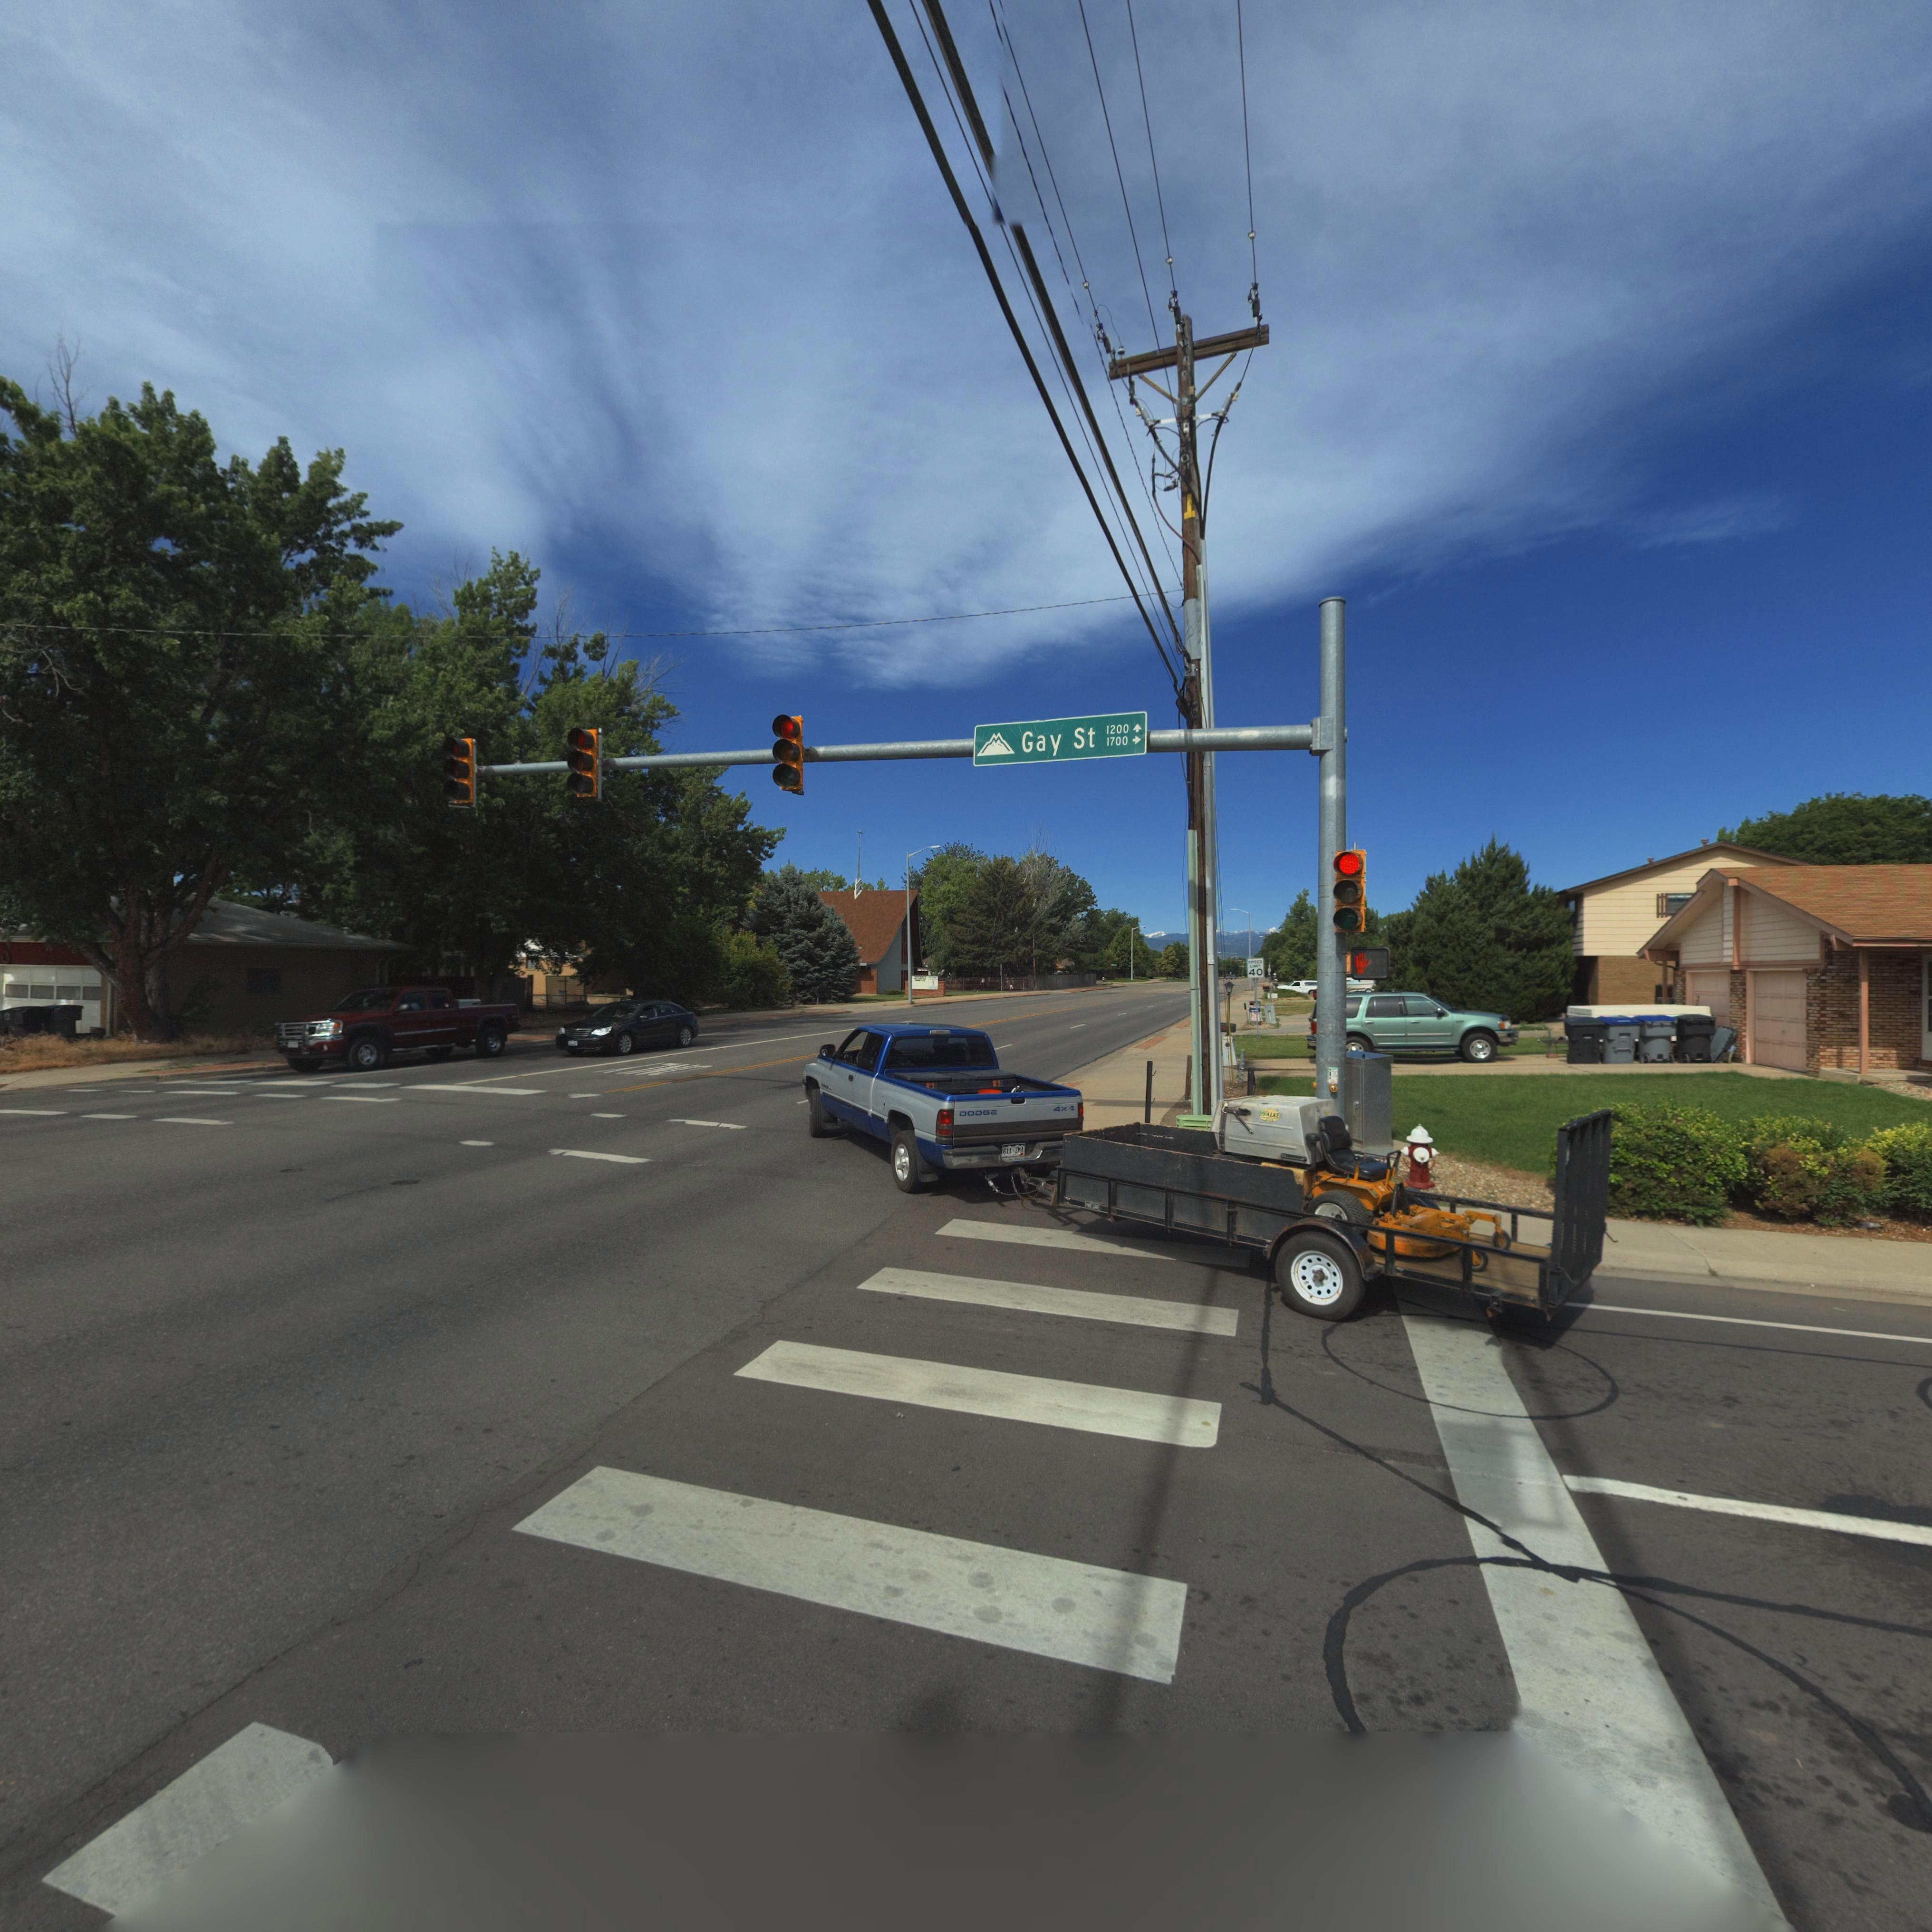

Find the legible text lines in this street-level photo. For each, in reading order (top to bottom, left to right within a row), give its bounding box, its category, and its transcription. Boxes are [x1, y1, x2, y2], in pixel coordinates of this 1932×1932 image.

[1106, 723, 1129, 734] StreetNumberRange: 1200
[1021, 726, 1096, 757] StreetName: Gay St
[1106, 735, 1142, 746] StreetNumberRange: 1700->